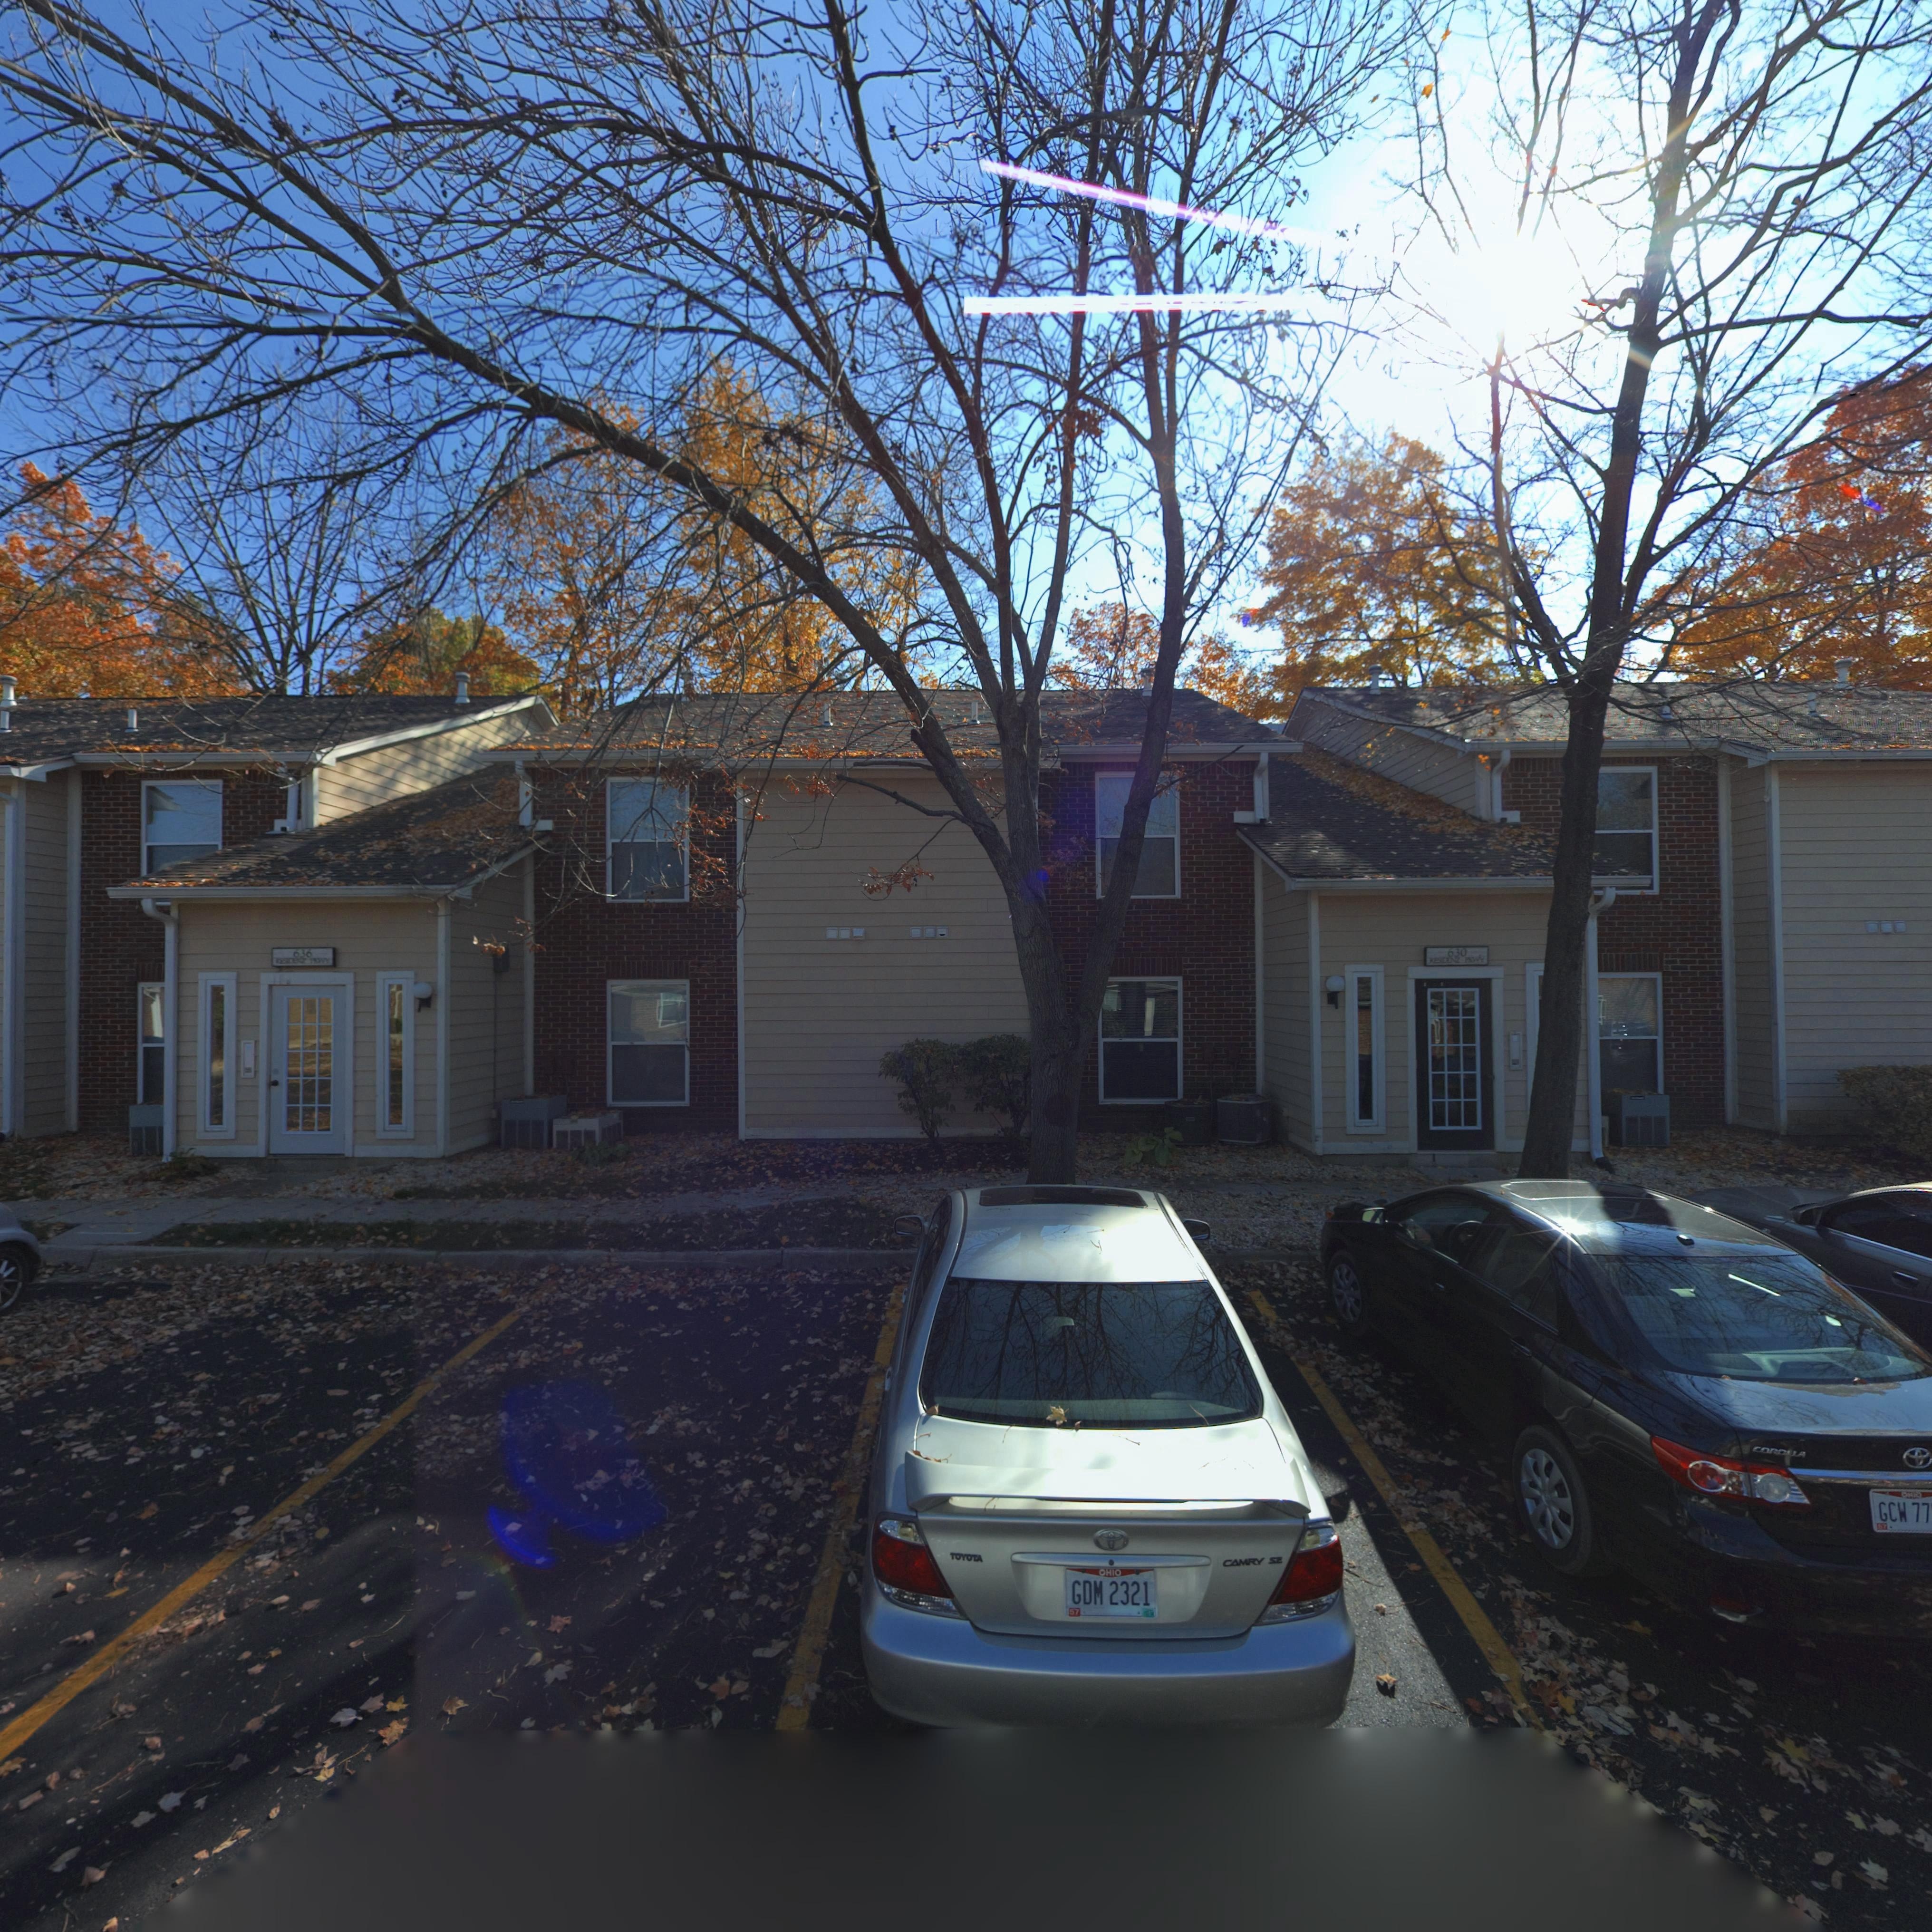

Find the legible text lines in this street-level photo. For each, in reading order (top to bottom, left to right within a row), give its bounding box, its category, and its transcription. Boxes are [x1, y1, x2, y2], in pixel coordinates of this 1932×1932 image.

[292, 947, 314, 959] StreetNumber: 636
[1447, 947, 1468, 958] StreetNumber: 630
[1750, 1445, 1807, 1459] None: CORO*LA
[1877, 1501, 1931, 1525] None: GCW 77
[949, 1551, 985, 1564] None: TOYOTA
[1221, 1555, 1283, 1568] None: CAMRY SE
[1098, 1568, 1122, 1578] None: OHIO
[1071, 1579, 1152, 1607] None: GDM 2321
[1069, 1608, 1081, 1617] None: 57